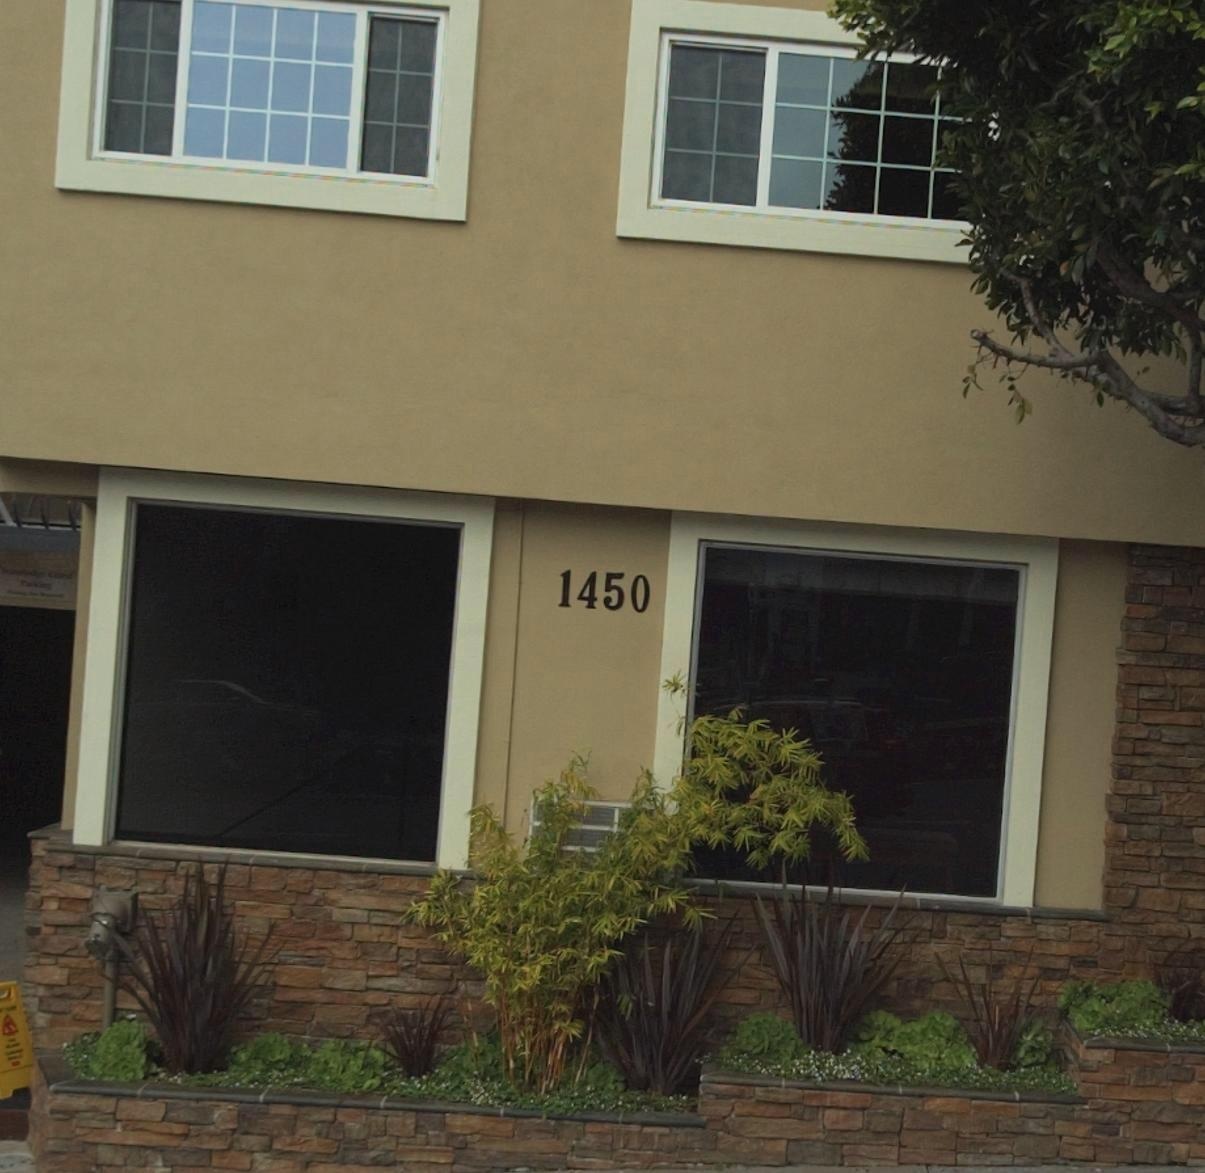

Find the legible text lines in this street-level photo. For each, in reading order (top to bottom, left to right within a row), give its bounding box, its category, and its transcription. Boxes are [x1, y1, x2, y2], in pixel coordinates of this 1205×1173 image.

[19, 579, 54, 591] None: Parking
[557, 570, 651, 613] StreetNumber: 1450